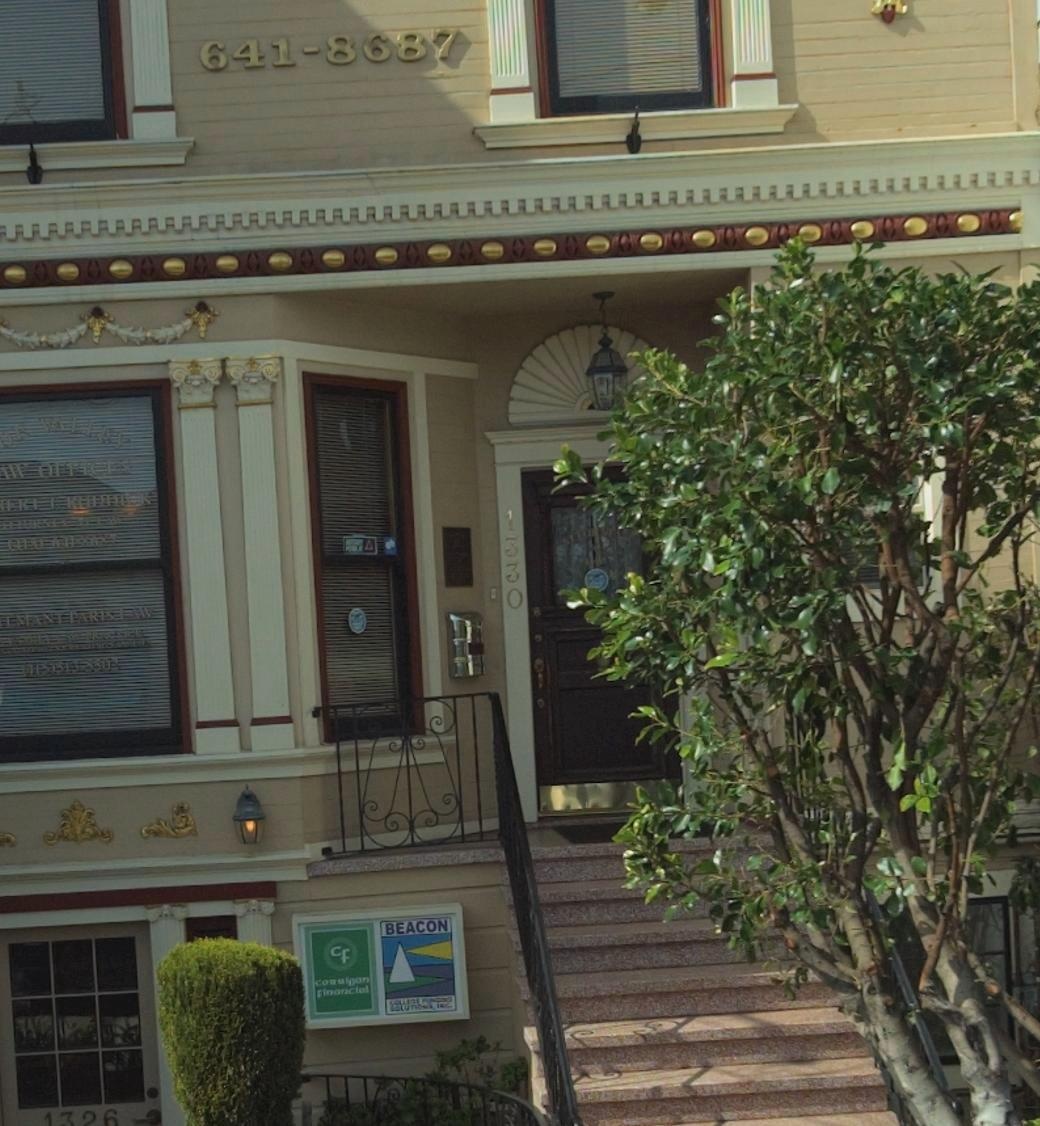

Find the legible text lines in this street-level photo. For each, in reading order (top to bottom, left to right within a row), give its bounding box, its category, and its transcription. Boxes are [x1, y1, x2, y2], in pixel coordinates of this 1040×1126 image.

[196, 24, 466, 77] None: 641-8687
[35, 415, 138, 452] BusinessName: VALLEY
[0, 458, 134, 480] BusinessName: *W OFFICES
[501, 504, 527, 612] StreetNumber: 1330
[380, 917, 451, 937] BusinessName: BEACON
[328, 944, 353, 965] BusinessName: cf
[313, 975, 371, 988] BusinessName: co**igan
[315, 984, 370, 1000] BusinessName: financial